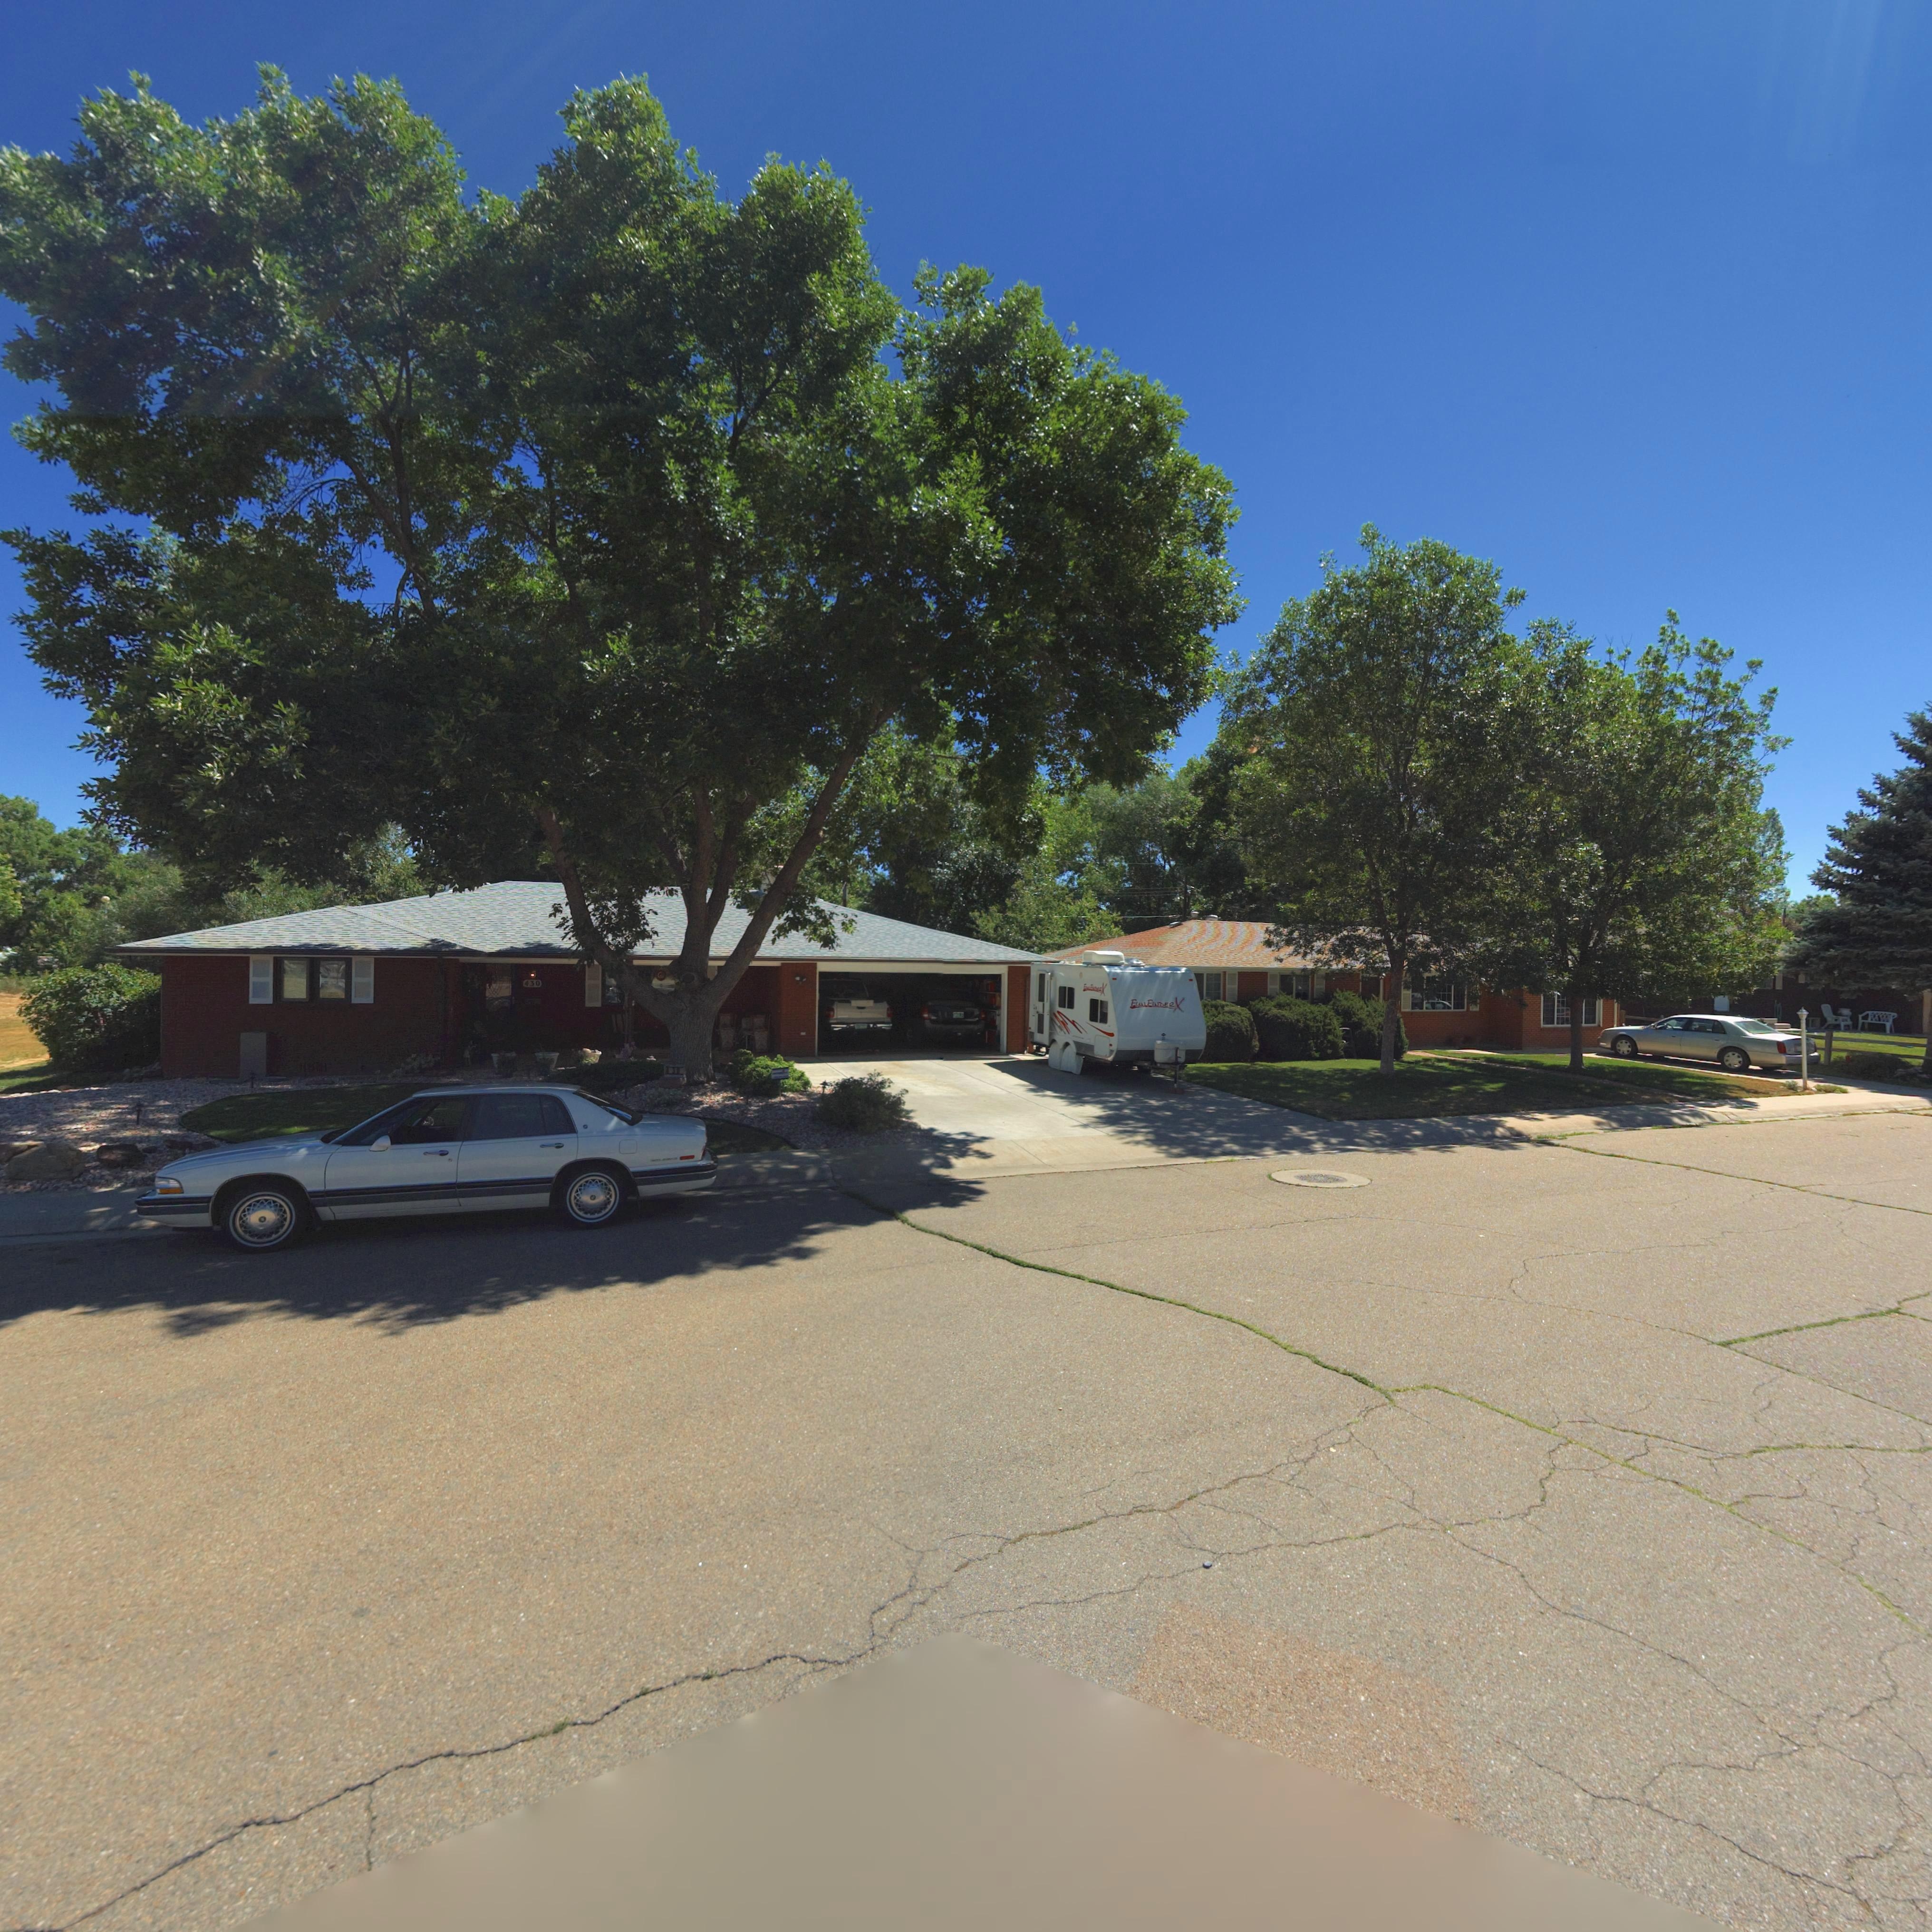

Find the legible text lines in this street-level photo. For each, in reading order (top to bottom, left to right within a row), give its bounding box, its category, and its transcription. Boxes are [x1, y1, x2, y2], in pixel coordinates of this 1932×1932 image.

[524, 979, 541, 986] StreetNumber: 430